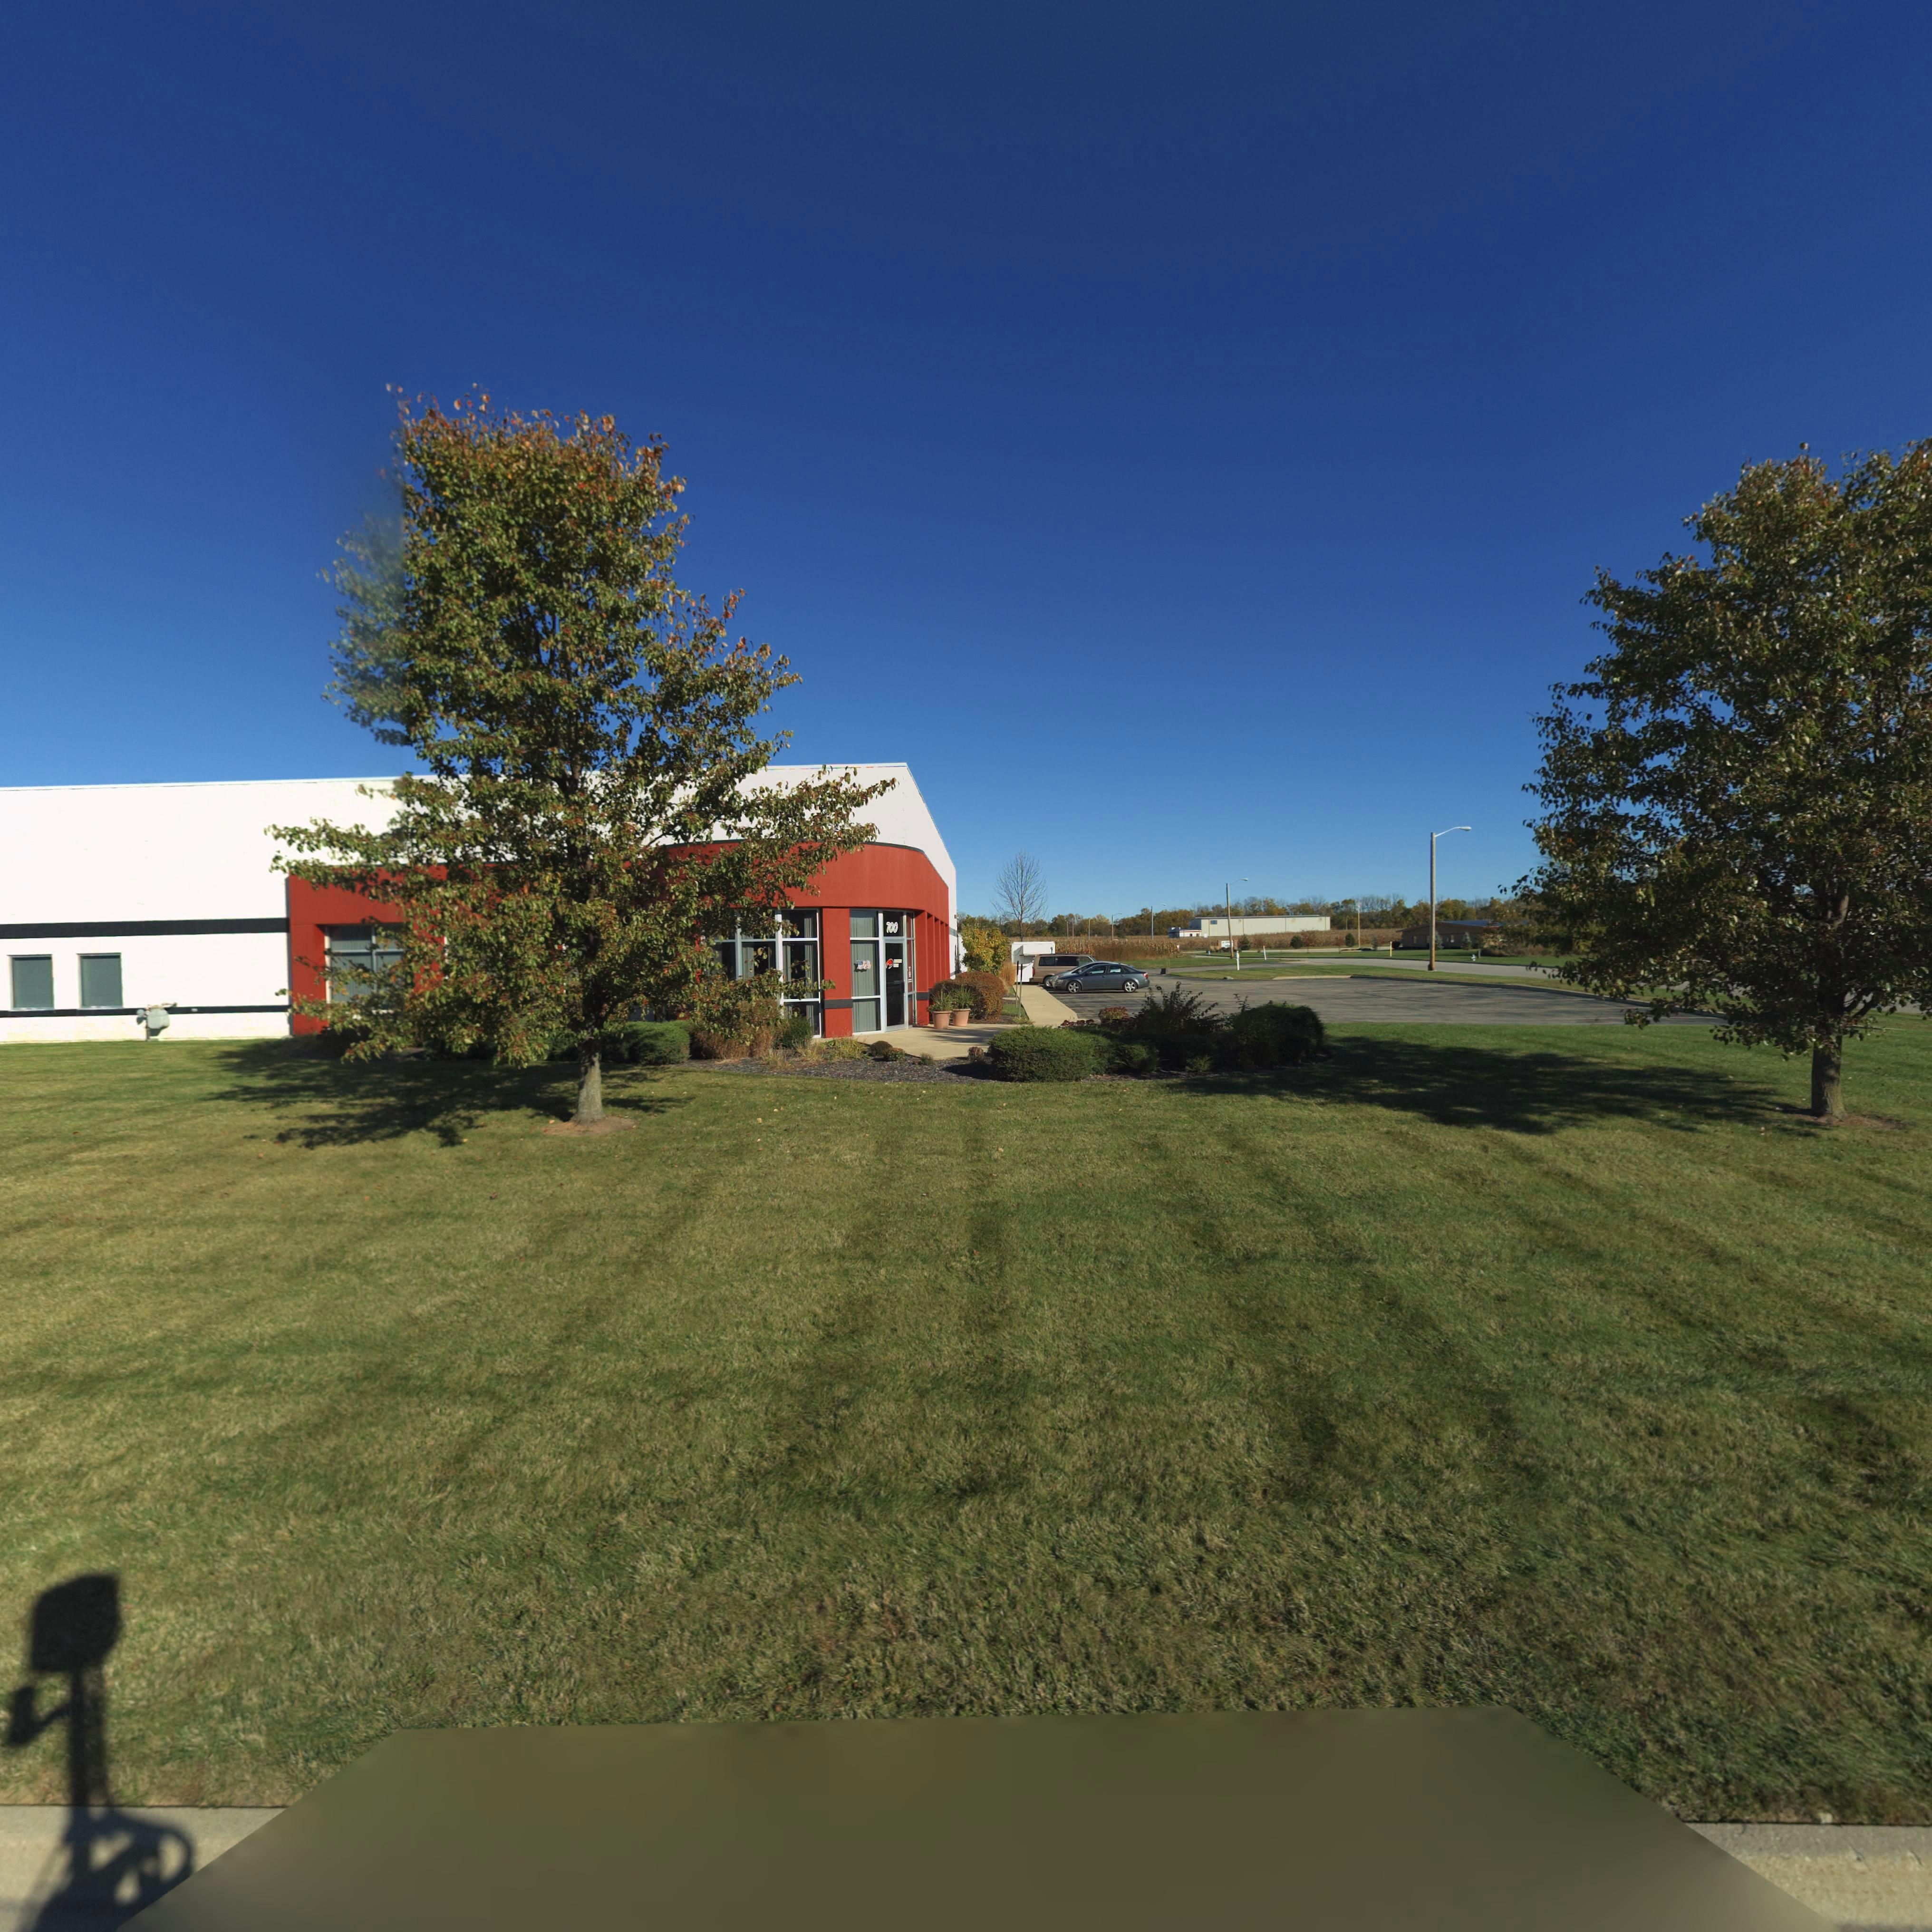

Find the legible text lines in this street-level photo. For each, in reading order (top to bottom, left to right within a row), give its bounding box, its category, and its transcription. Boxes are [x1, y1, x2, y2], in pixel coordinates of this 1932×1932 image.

[885, 921, 898, 934] StreetNumber: 700
[856, 959, 871, 970] StreetNumber: 700